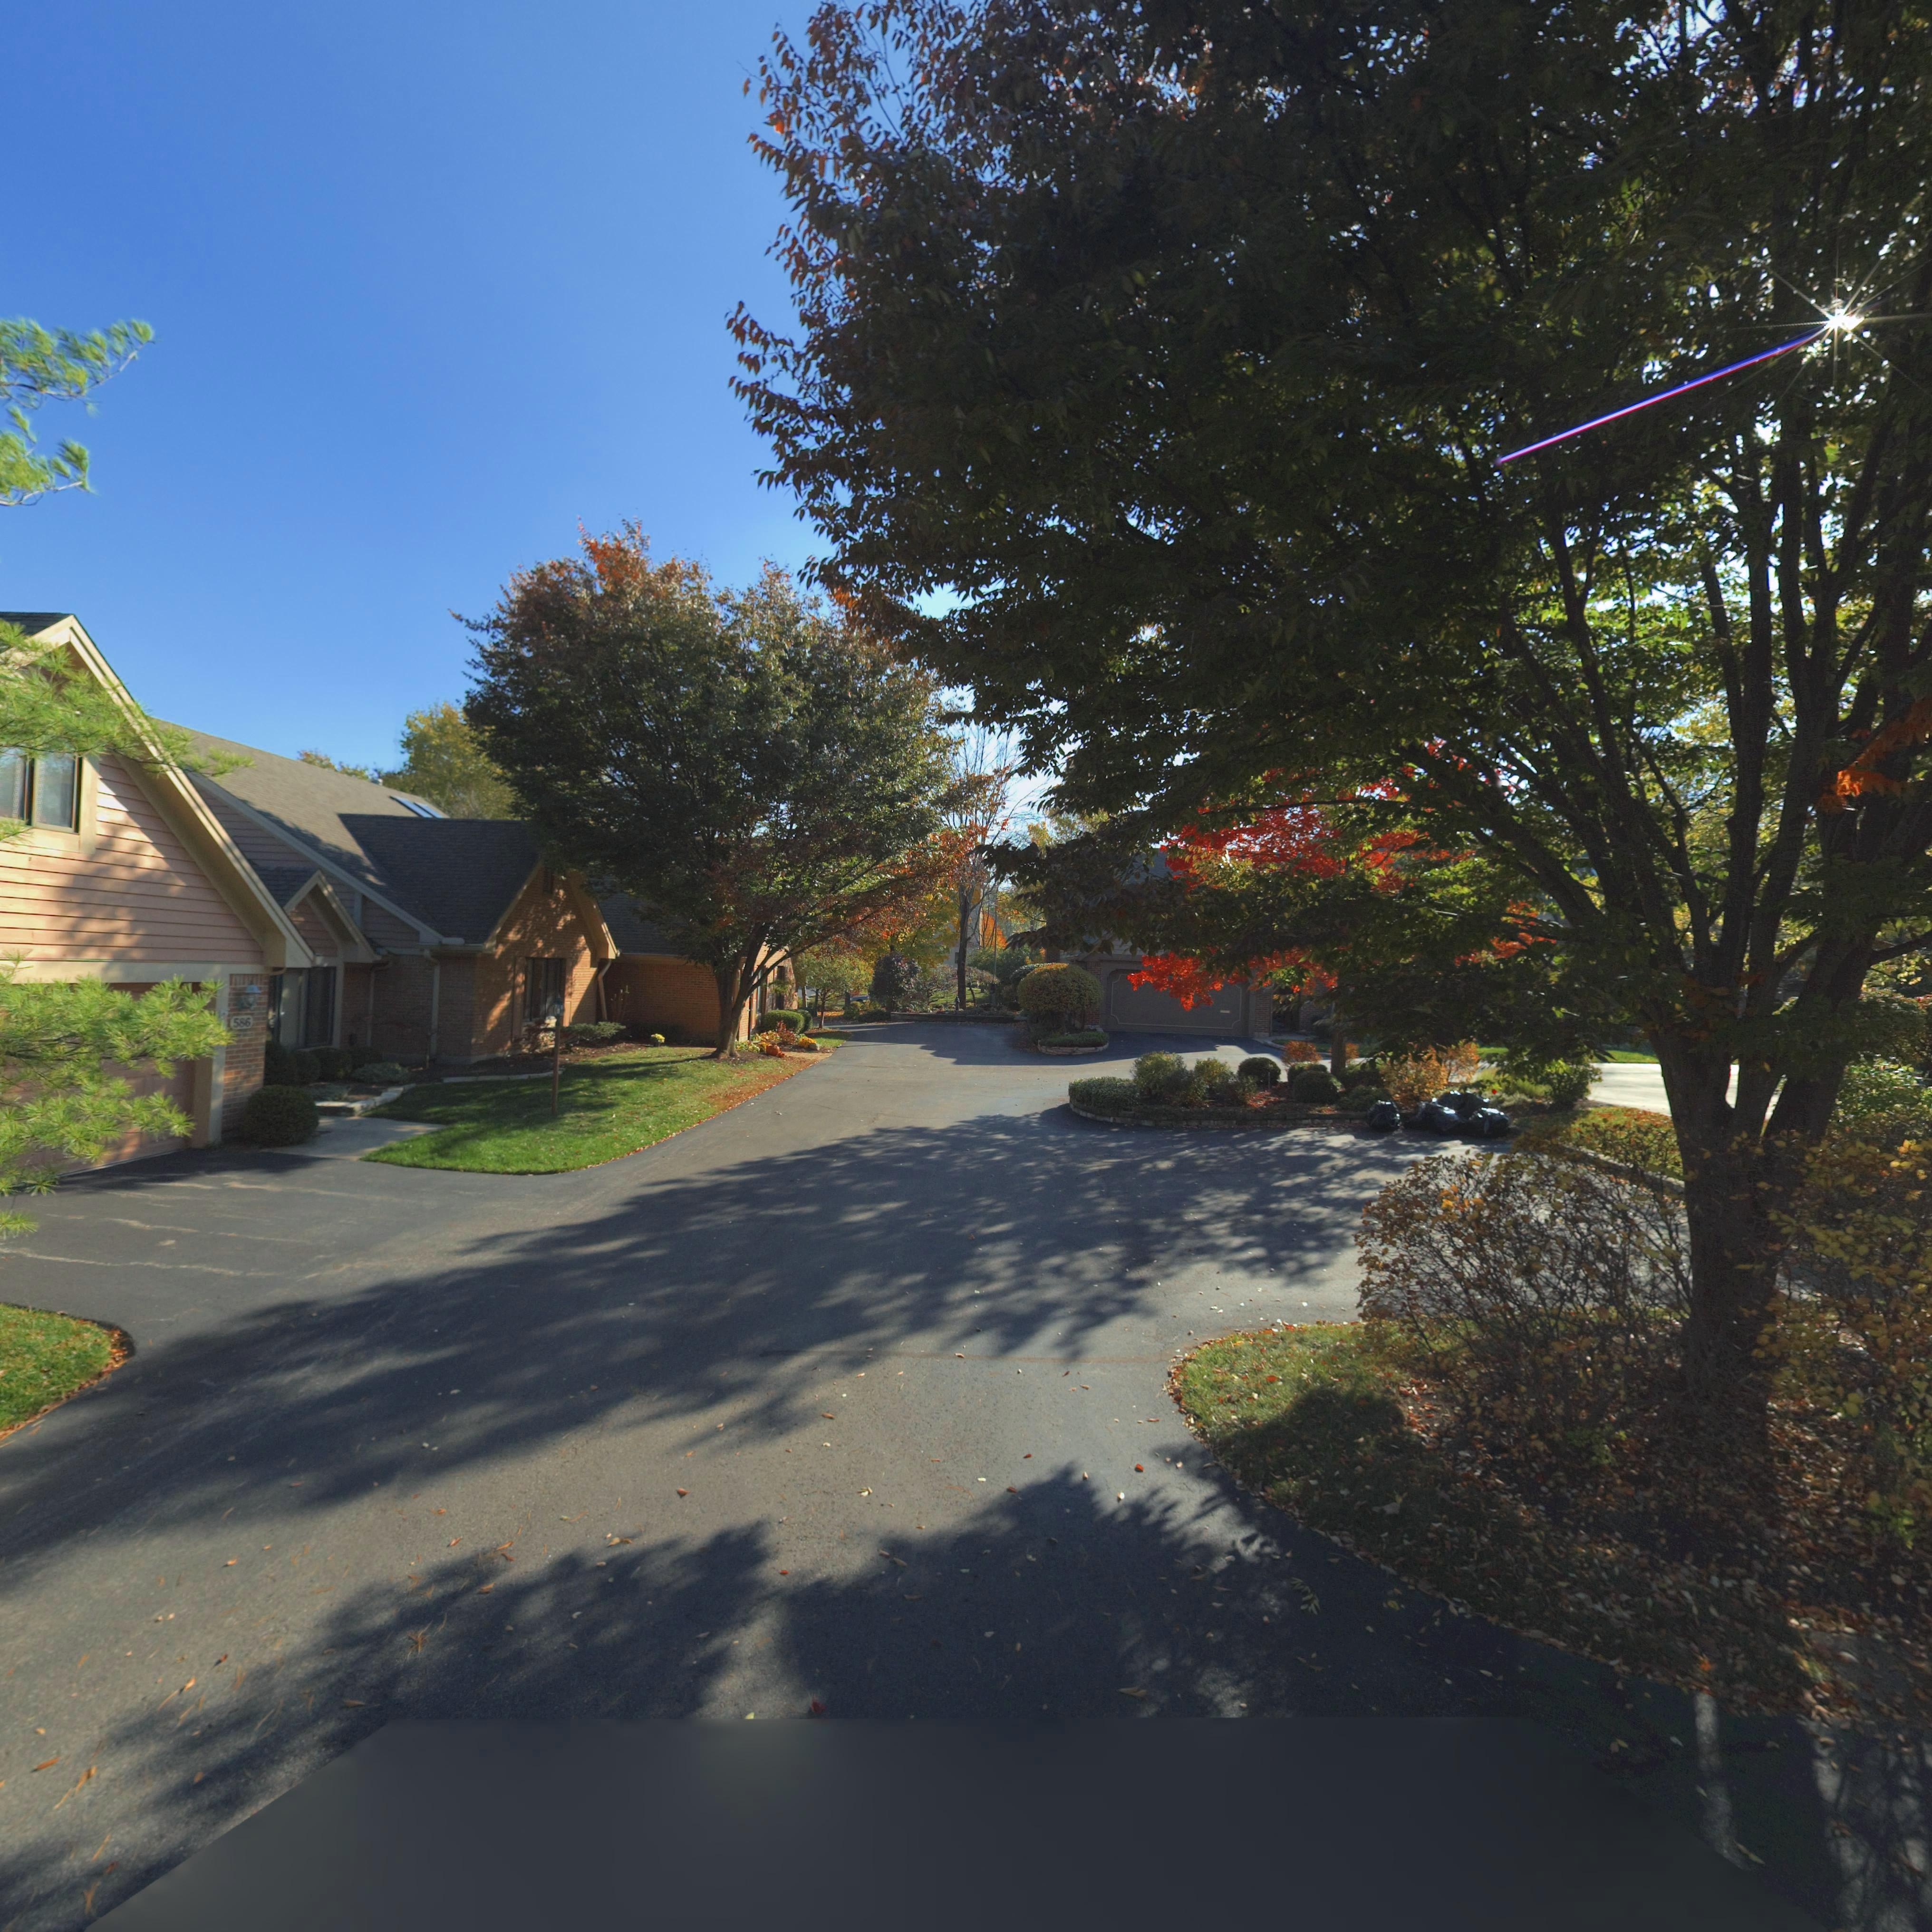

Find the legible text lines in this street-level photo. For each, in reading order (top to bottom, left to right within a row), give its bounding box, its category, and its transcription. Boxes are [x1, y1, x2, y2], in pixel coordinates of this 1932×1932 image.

[233, 1016, 251, 1028] StreetNumber: 586